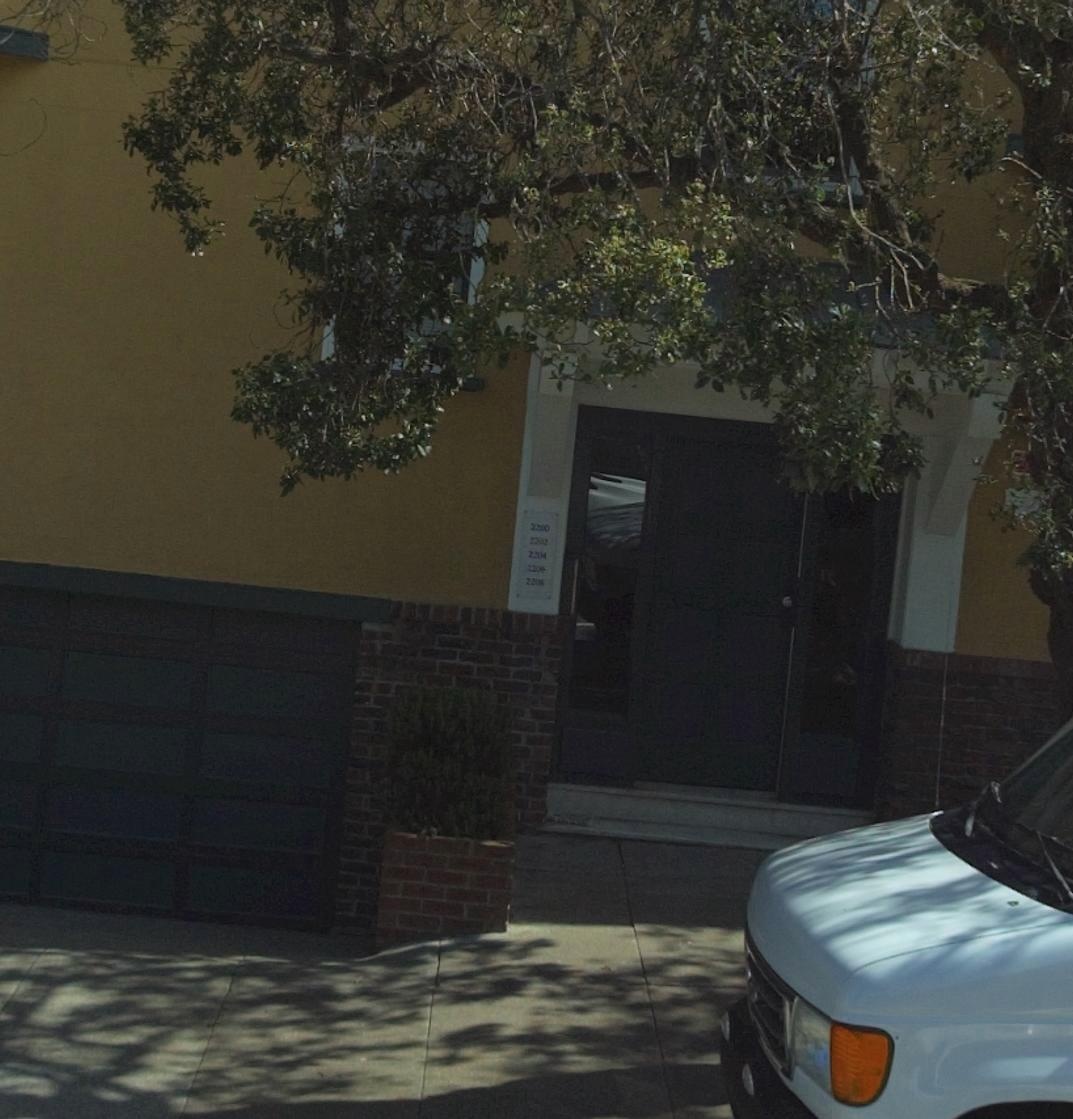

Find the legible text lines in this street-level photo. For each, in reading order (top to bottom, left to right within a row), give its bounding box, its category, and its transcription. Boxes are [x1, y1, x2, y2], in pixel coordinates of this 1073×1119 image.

[528, 521, 552, 534] StreetNumber: 2200
[529, 535, 549, 547] StreetNumber: 2202
[527, 549, 548, 560] StreetNumber: 2204
[526, 562, 547, 574] StreetNumber: 2206
[524, 576, 546, 588] StreetNumber: 2208